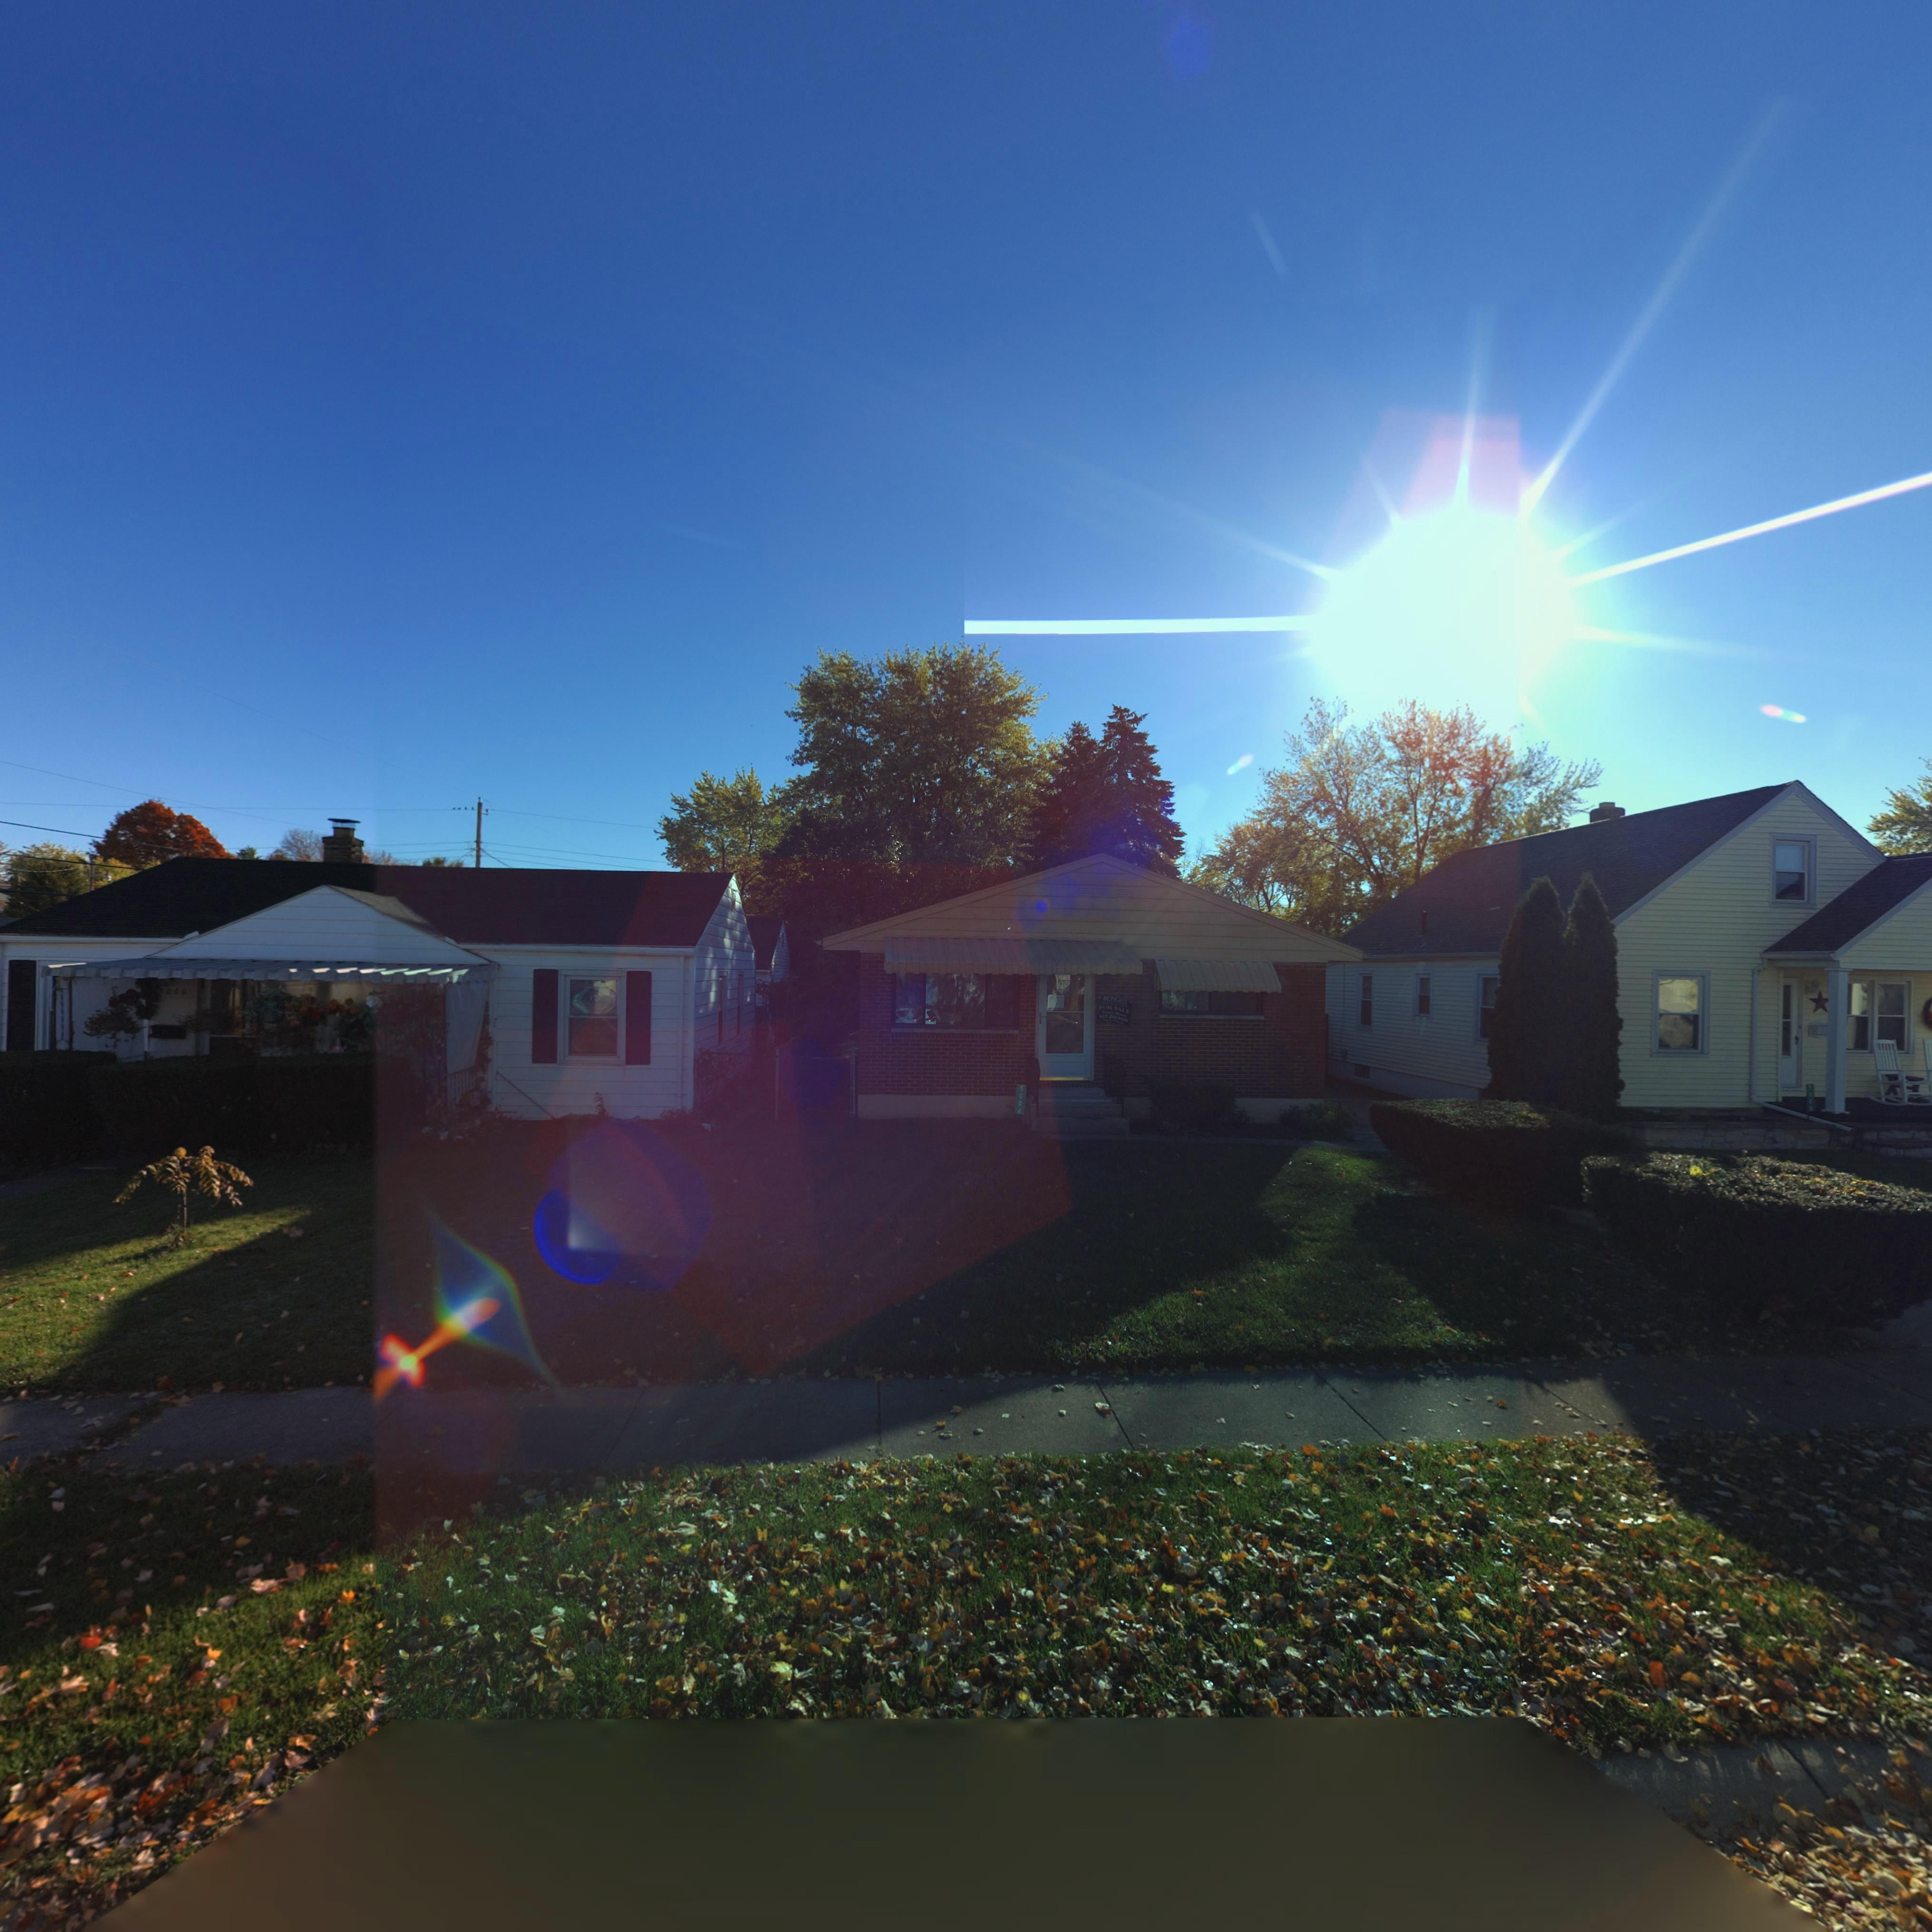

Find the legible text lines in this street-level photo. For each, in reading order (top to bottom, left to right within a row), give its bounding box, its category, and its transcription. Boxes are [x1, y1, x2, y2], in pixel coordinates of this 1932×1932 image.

[156, 986, 187, 995] StreetNumber: *000
[1016, 1085, 1024, 1114] StreetNumber: 5004
[1808, 1084, 1814, 1111] StreetNumber: 5*0*